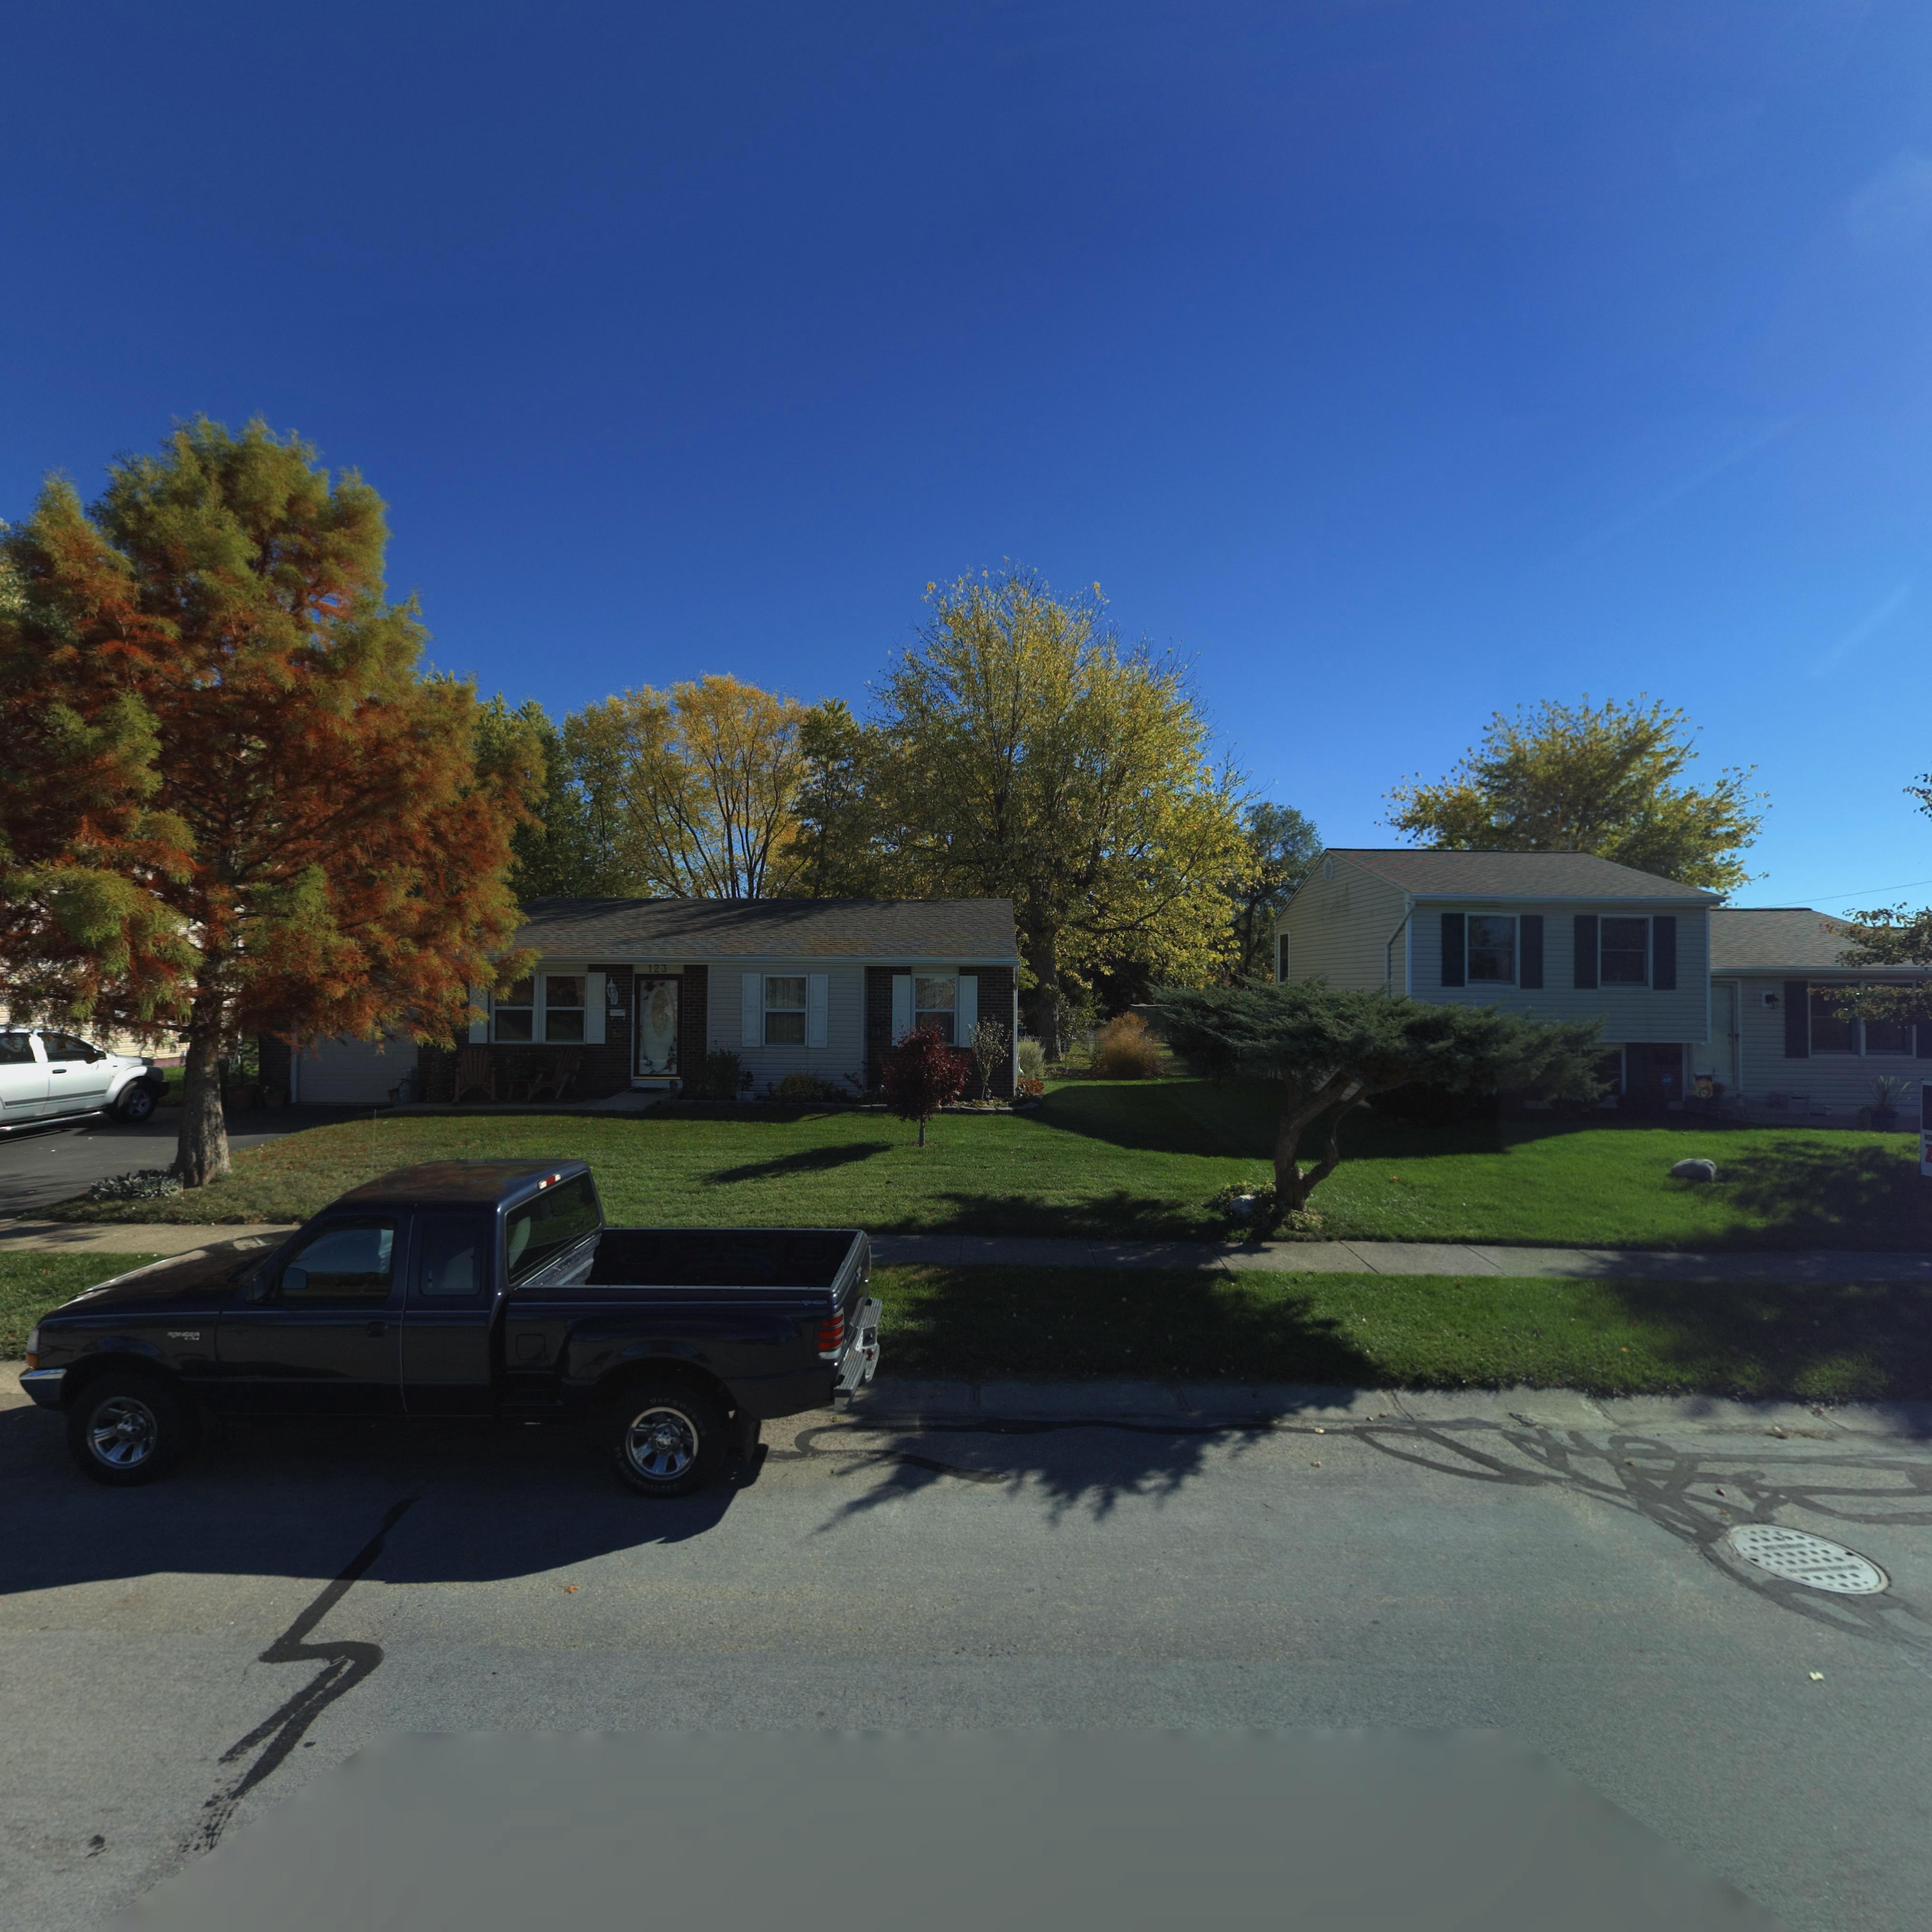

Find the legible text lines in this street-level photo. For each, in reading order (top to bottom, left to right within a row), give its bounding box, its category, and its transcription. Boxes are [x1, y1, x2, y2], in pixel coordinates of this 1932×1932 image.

[648, 964, 667, 973] StreetNumber: 123